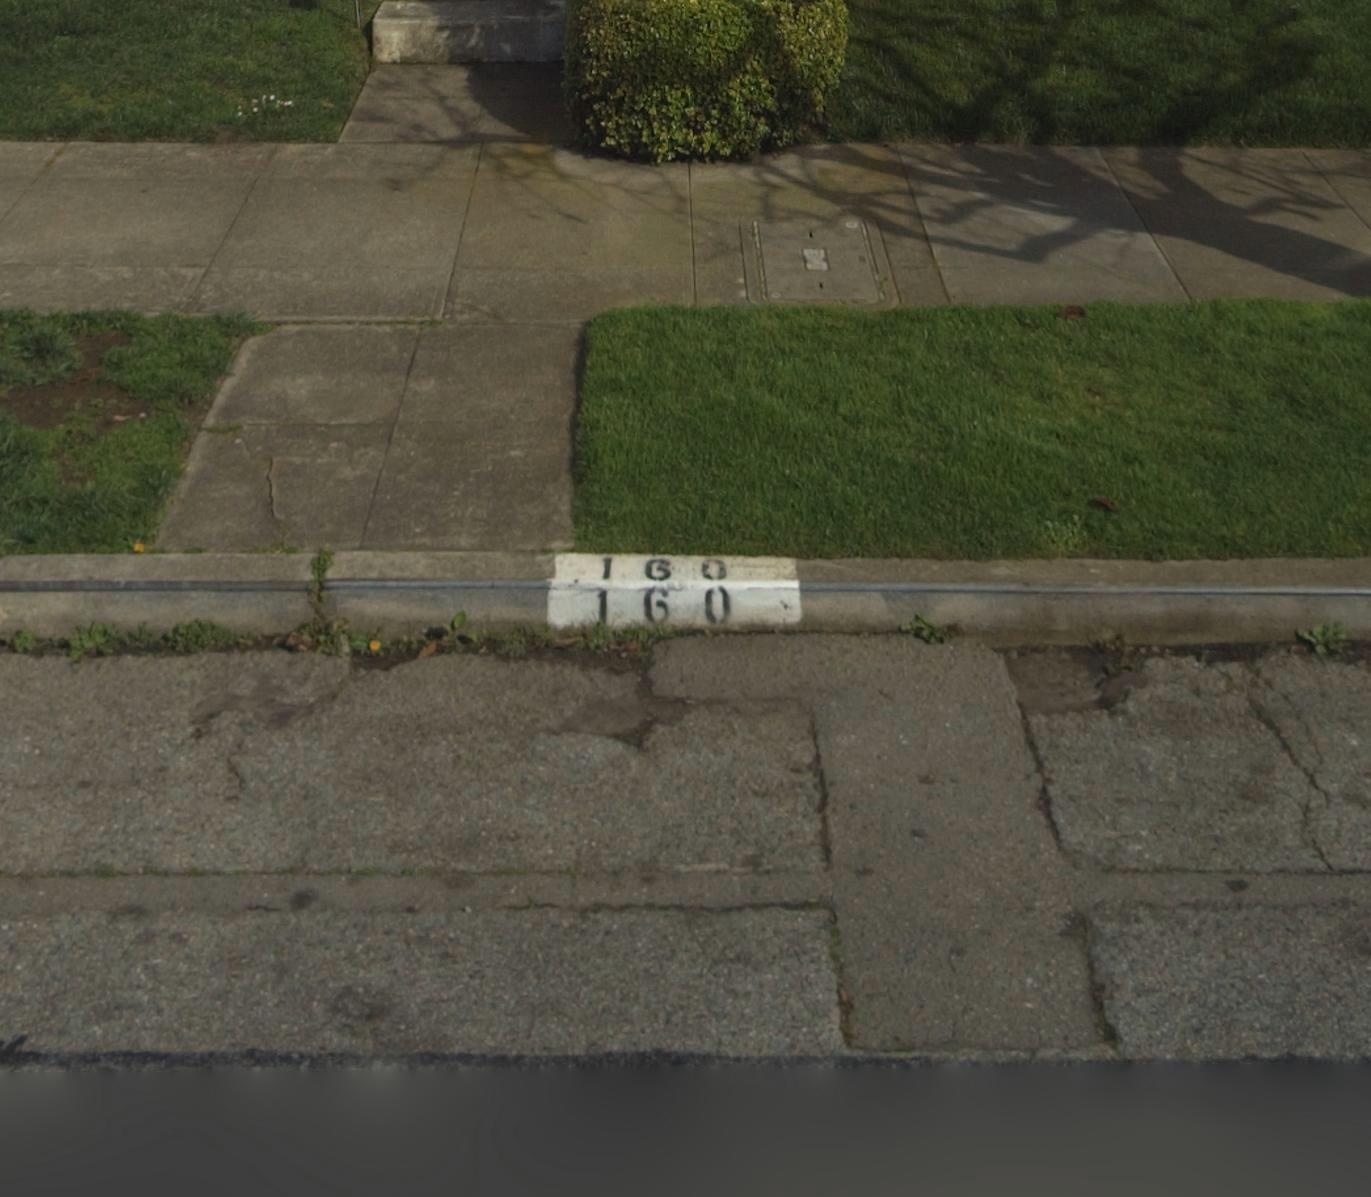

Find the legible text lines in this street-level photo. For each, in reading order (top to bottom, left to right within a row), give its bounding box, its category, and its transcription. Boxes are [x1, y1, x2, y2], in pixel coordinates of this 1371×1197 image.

[600, 555, 730, 583] StreetNumber: 160
[595, 583, 734, 628] StreetNumber: 160